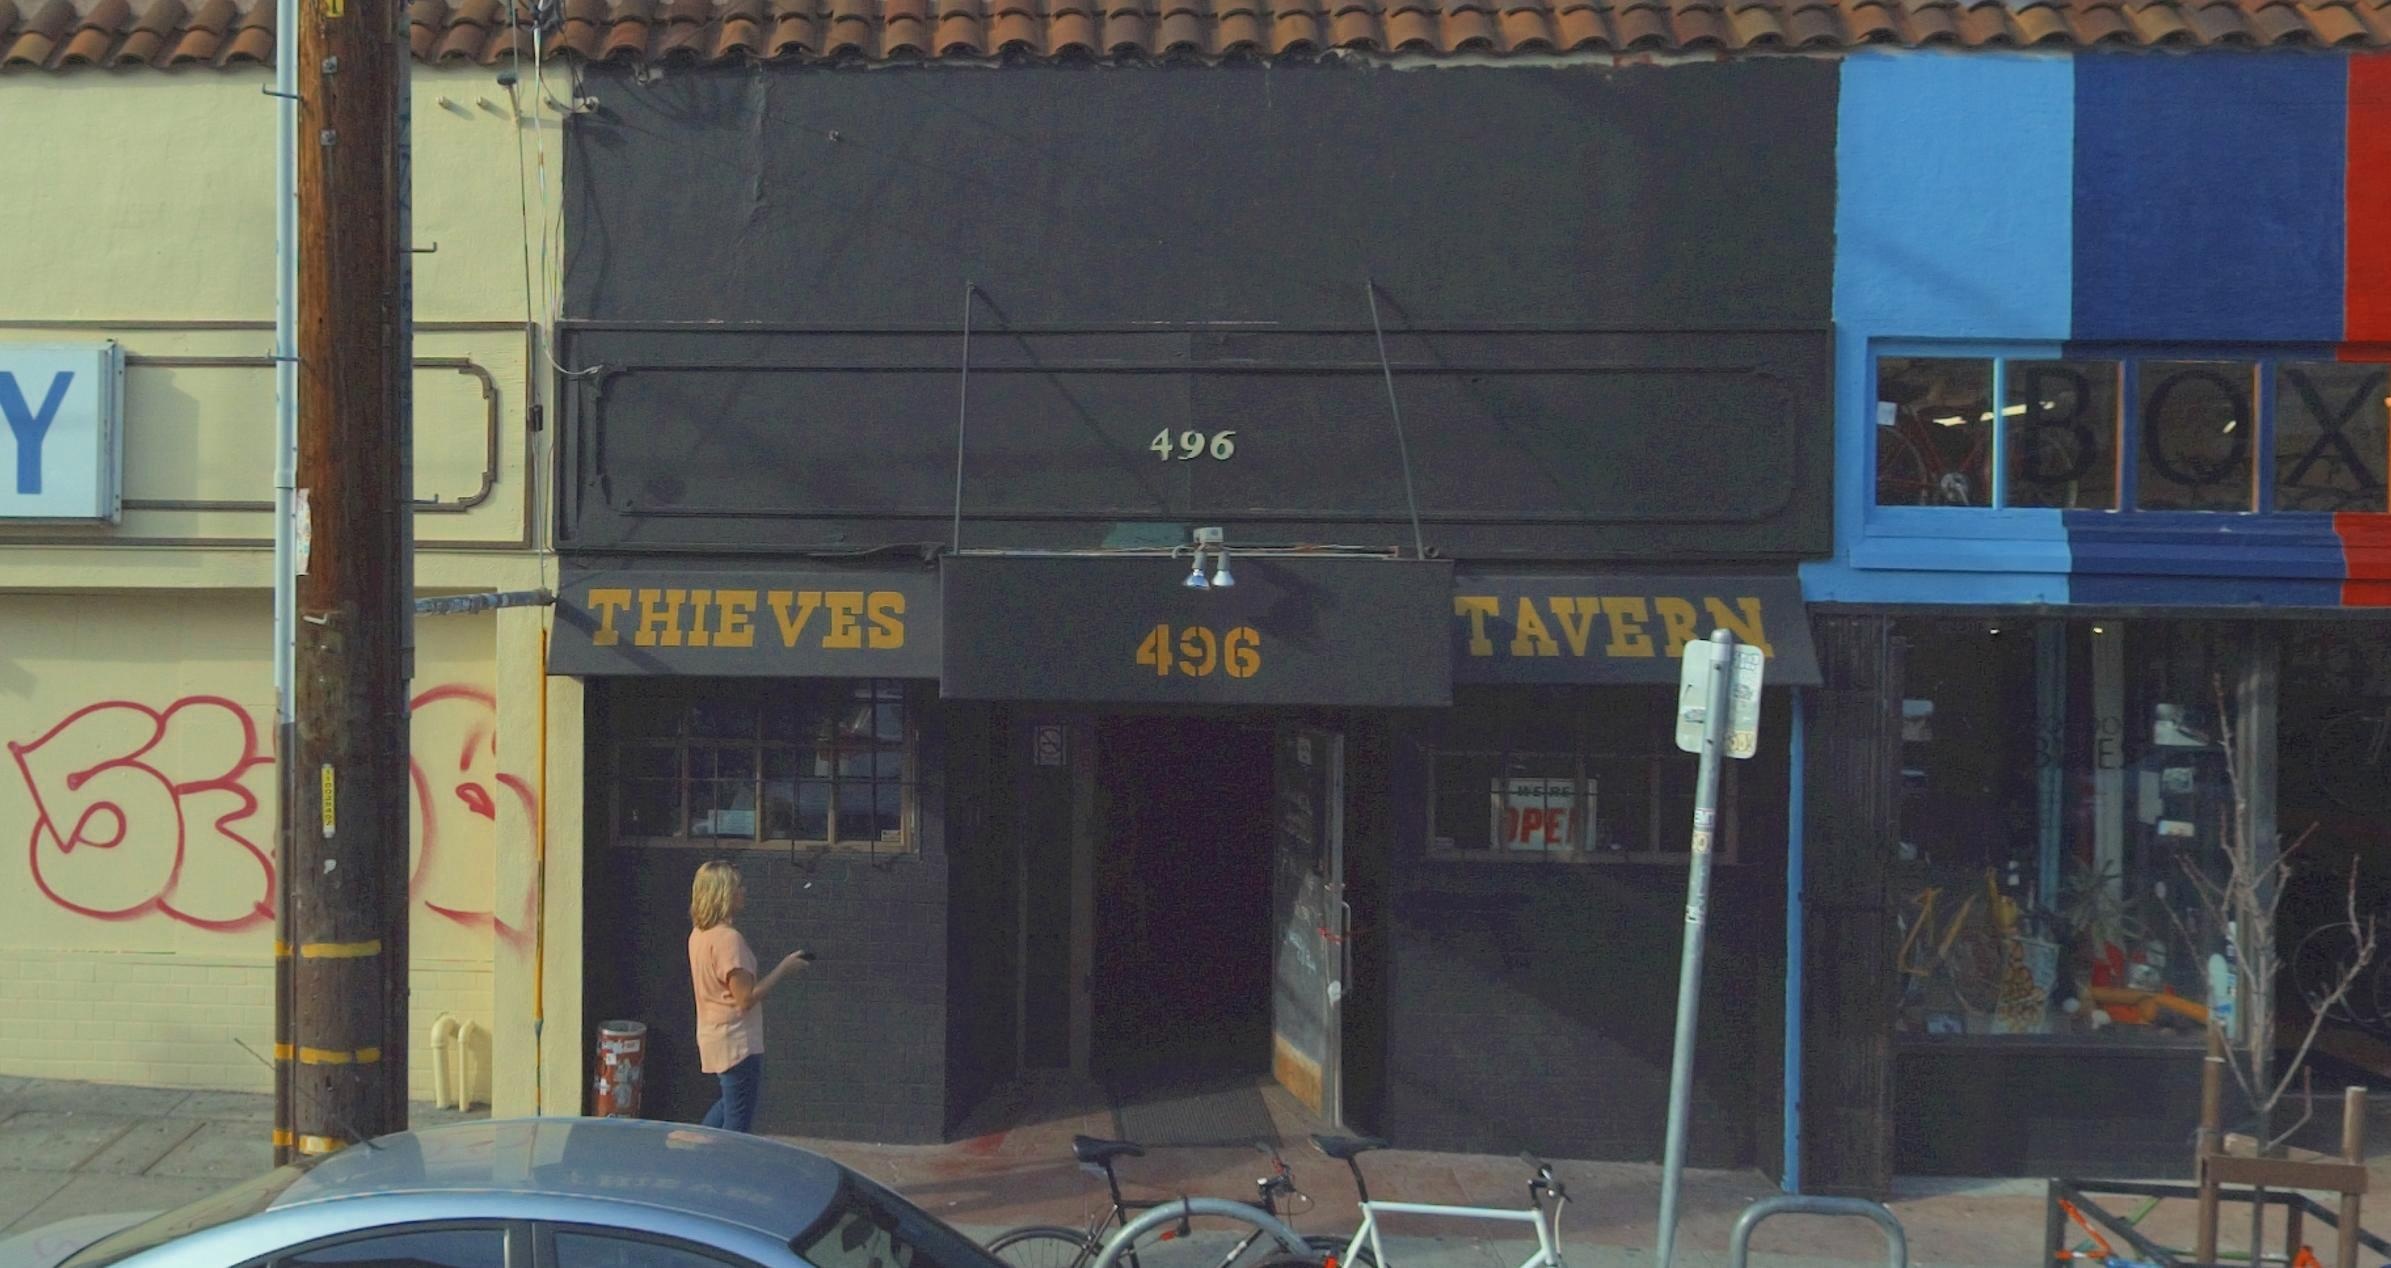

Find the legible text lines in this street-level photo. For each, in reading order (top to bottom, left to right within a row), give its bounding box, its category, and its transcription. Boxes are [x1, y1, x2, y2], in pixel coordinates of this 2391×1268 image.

[1144, 421, 1242, 466] StreetNumber: 496
[2013, 355, 2389, 498] BusinessName: BOX
[582, 584, 910, 652] BusinessName: THIEVES
[1126, 619, 1265, 682] StreetNumber: 496
[1444, 590, 1786, 663] BusinessName: TAVERN
[1, 686, 195, 939] None: 5
[1515, 802, 1574, 847] None: PE